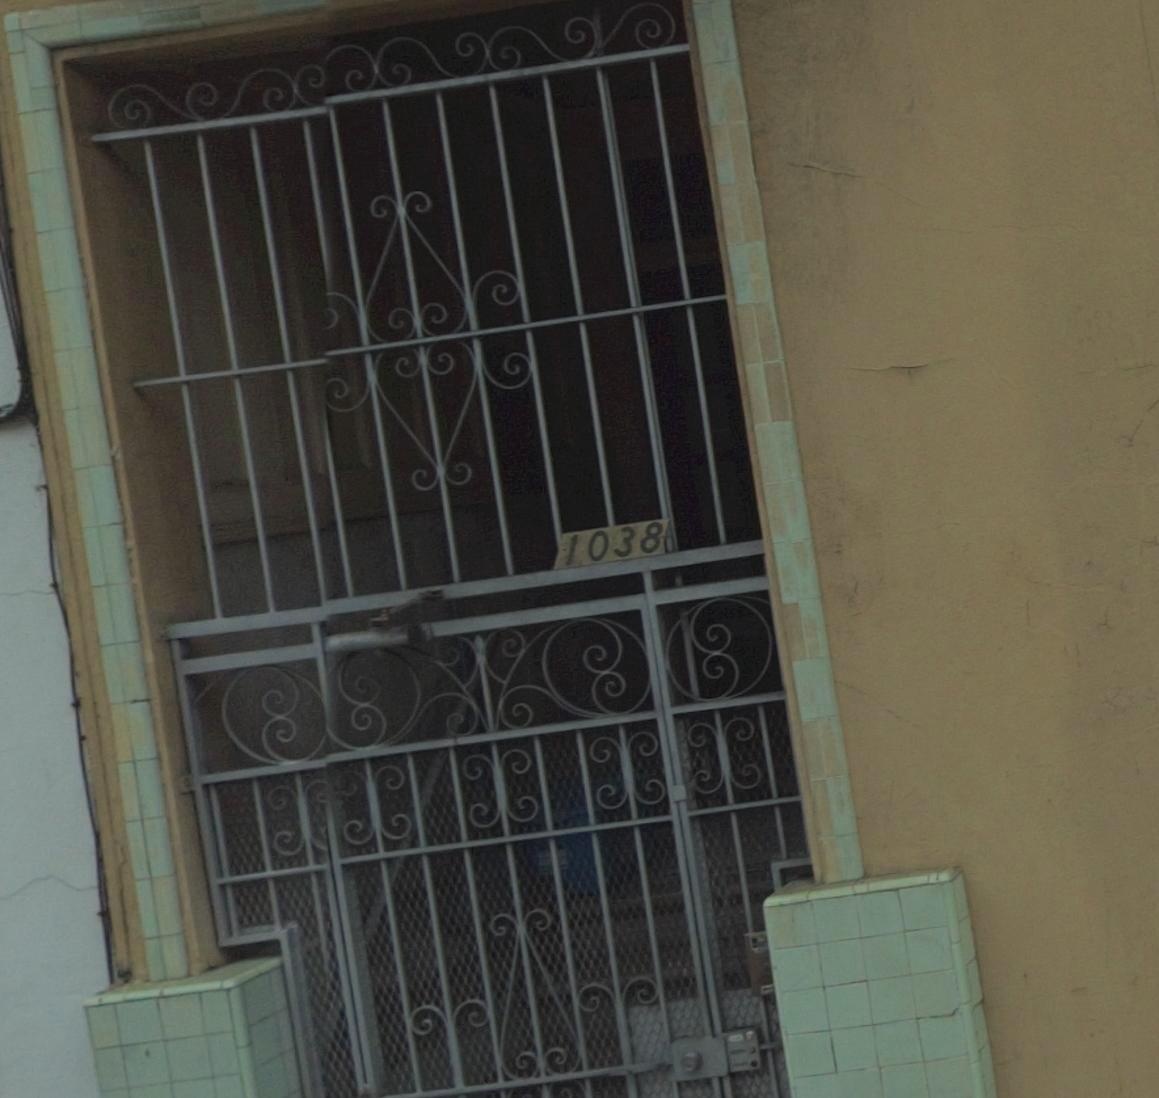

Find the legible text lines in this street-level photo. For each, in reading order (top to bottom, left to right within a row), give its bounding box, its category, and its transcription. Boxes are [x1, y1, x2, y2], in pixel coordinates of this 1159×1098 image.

[559, 518, 668, 570] StreetNumber: 1038